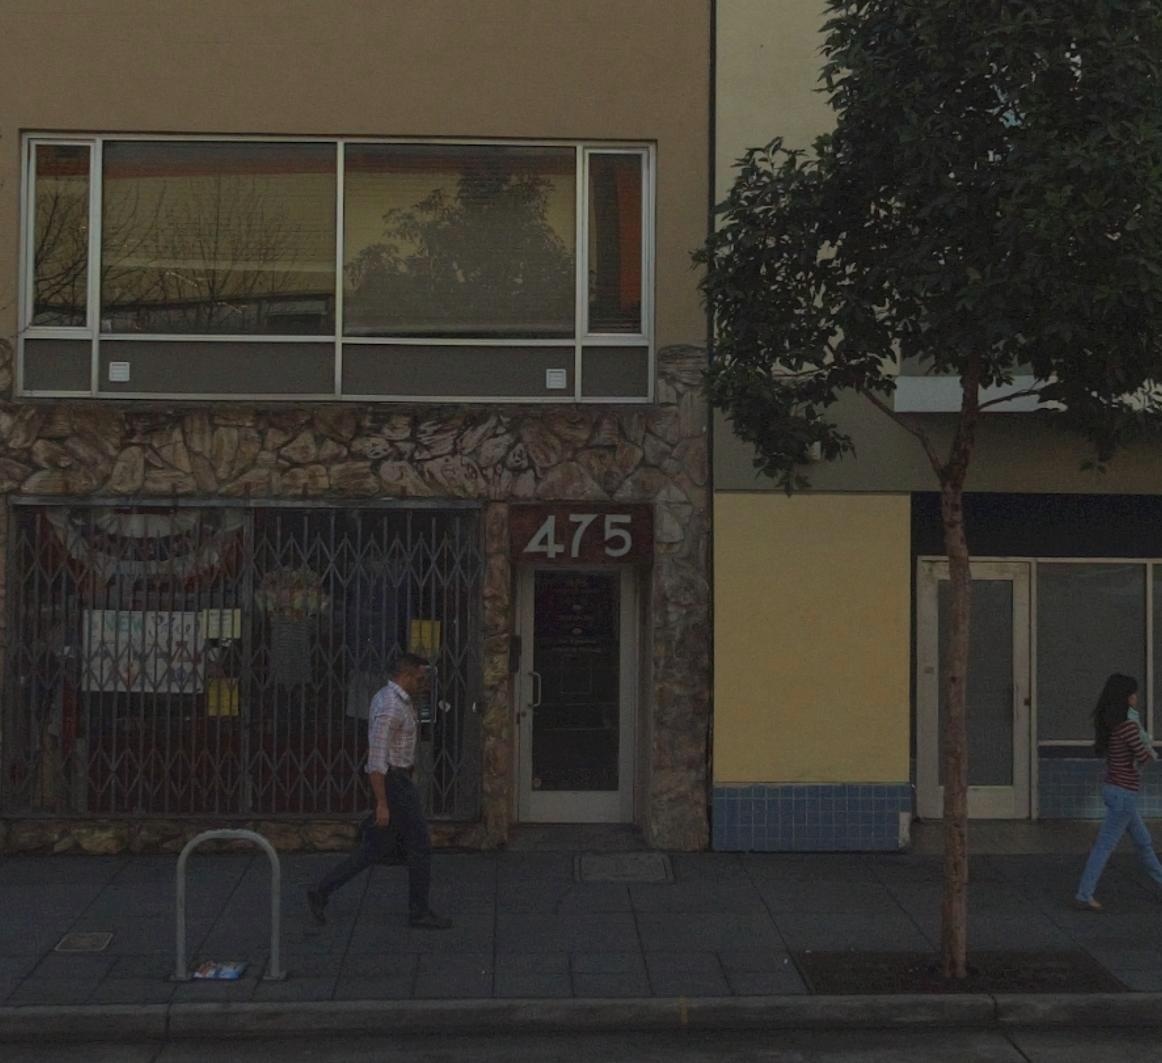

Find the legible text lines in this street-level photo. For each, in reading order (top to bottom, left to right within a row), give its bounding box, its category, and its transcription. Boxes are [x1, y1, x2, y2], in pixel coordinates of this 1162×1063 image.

[521, 512, 633, 561] StreetNumber: 475